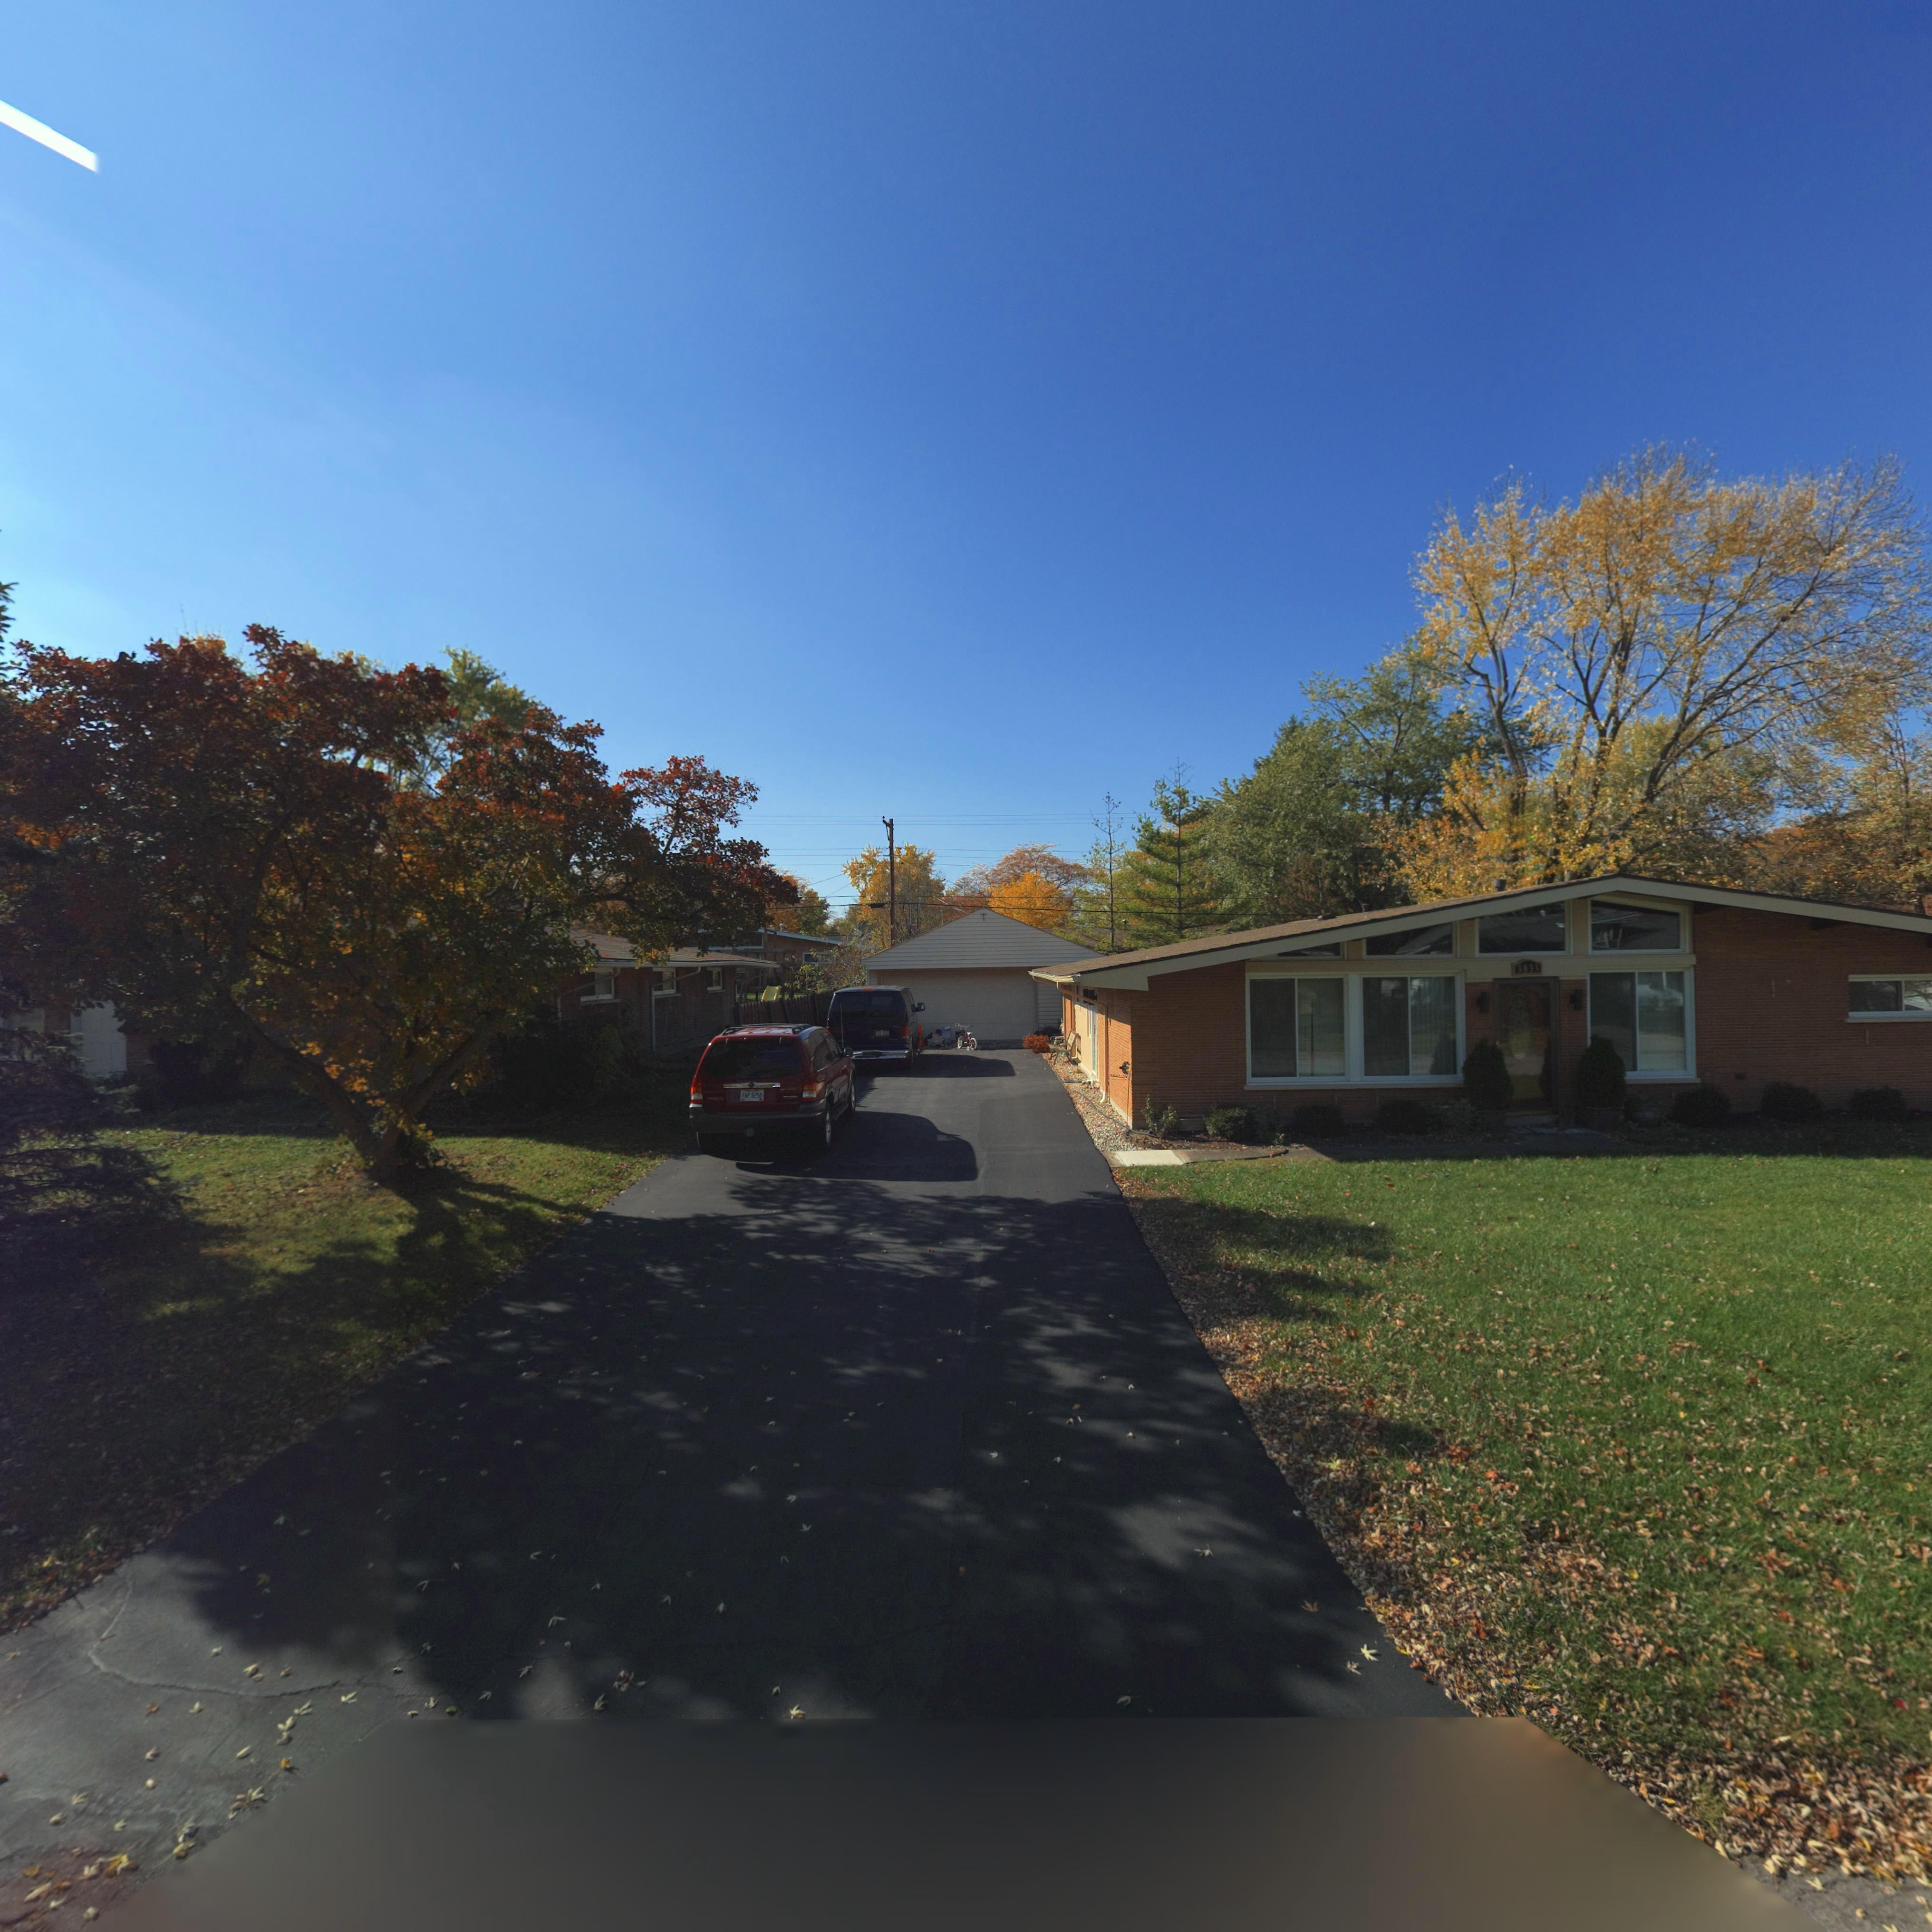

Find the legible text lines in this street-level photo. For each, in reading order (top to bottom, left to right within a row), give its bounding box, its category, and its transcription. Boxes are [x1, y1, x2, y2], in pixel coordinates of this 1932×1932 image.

[1517, 964, 1539, 974] StreetNumber: 3833
[741, 1092, 763, 1099] None: FWP*8250